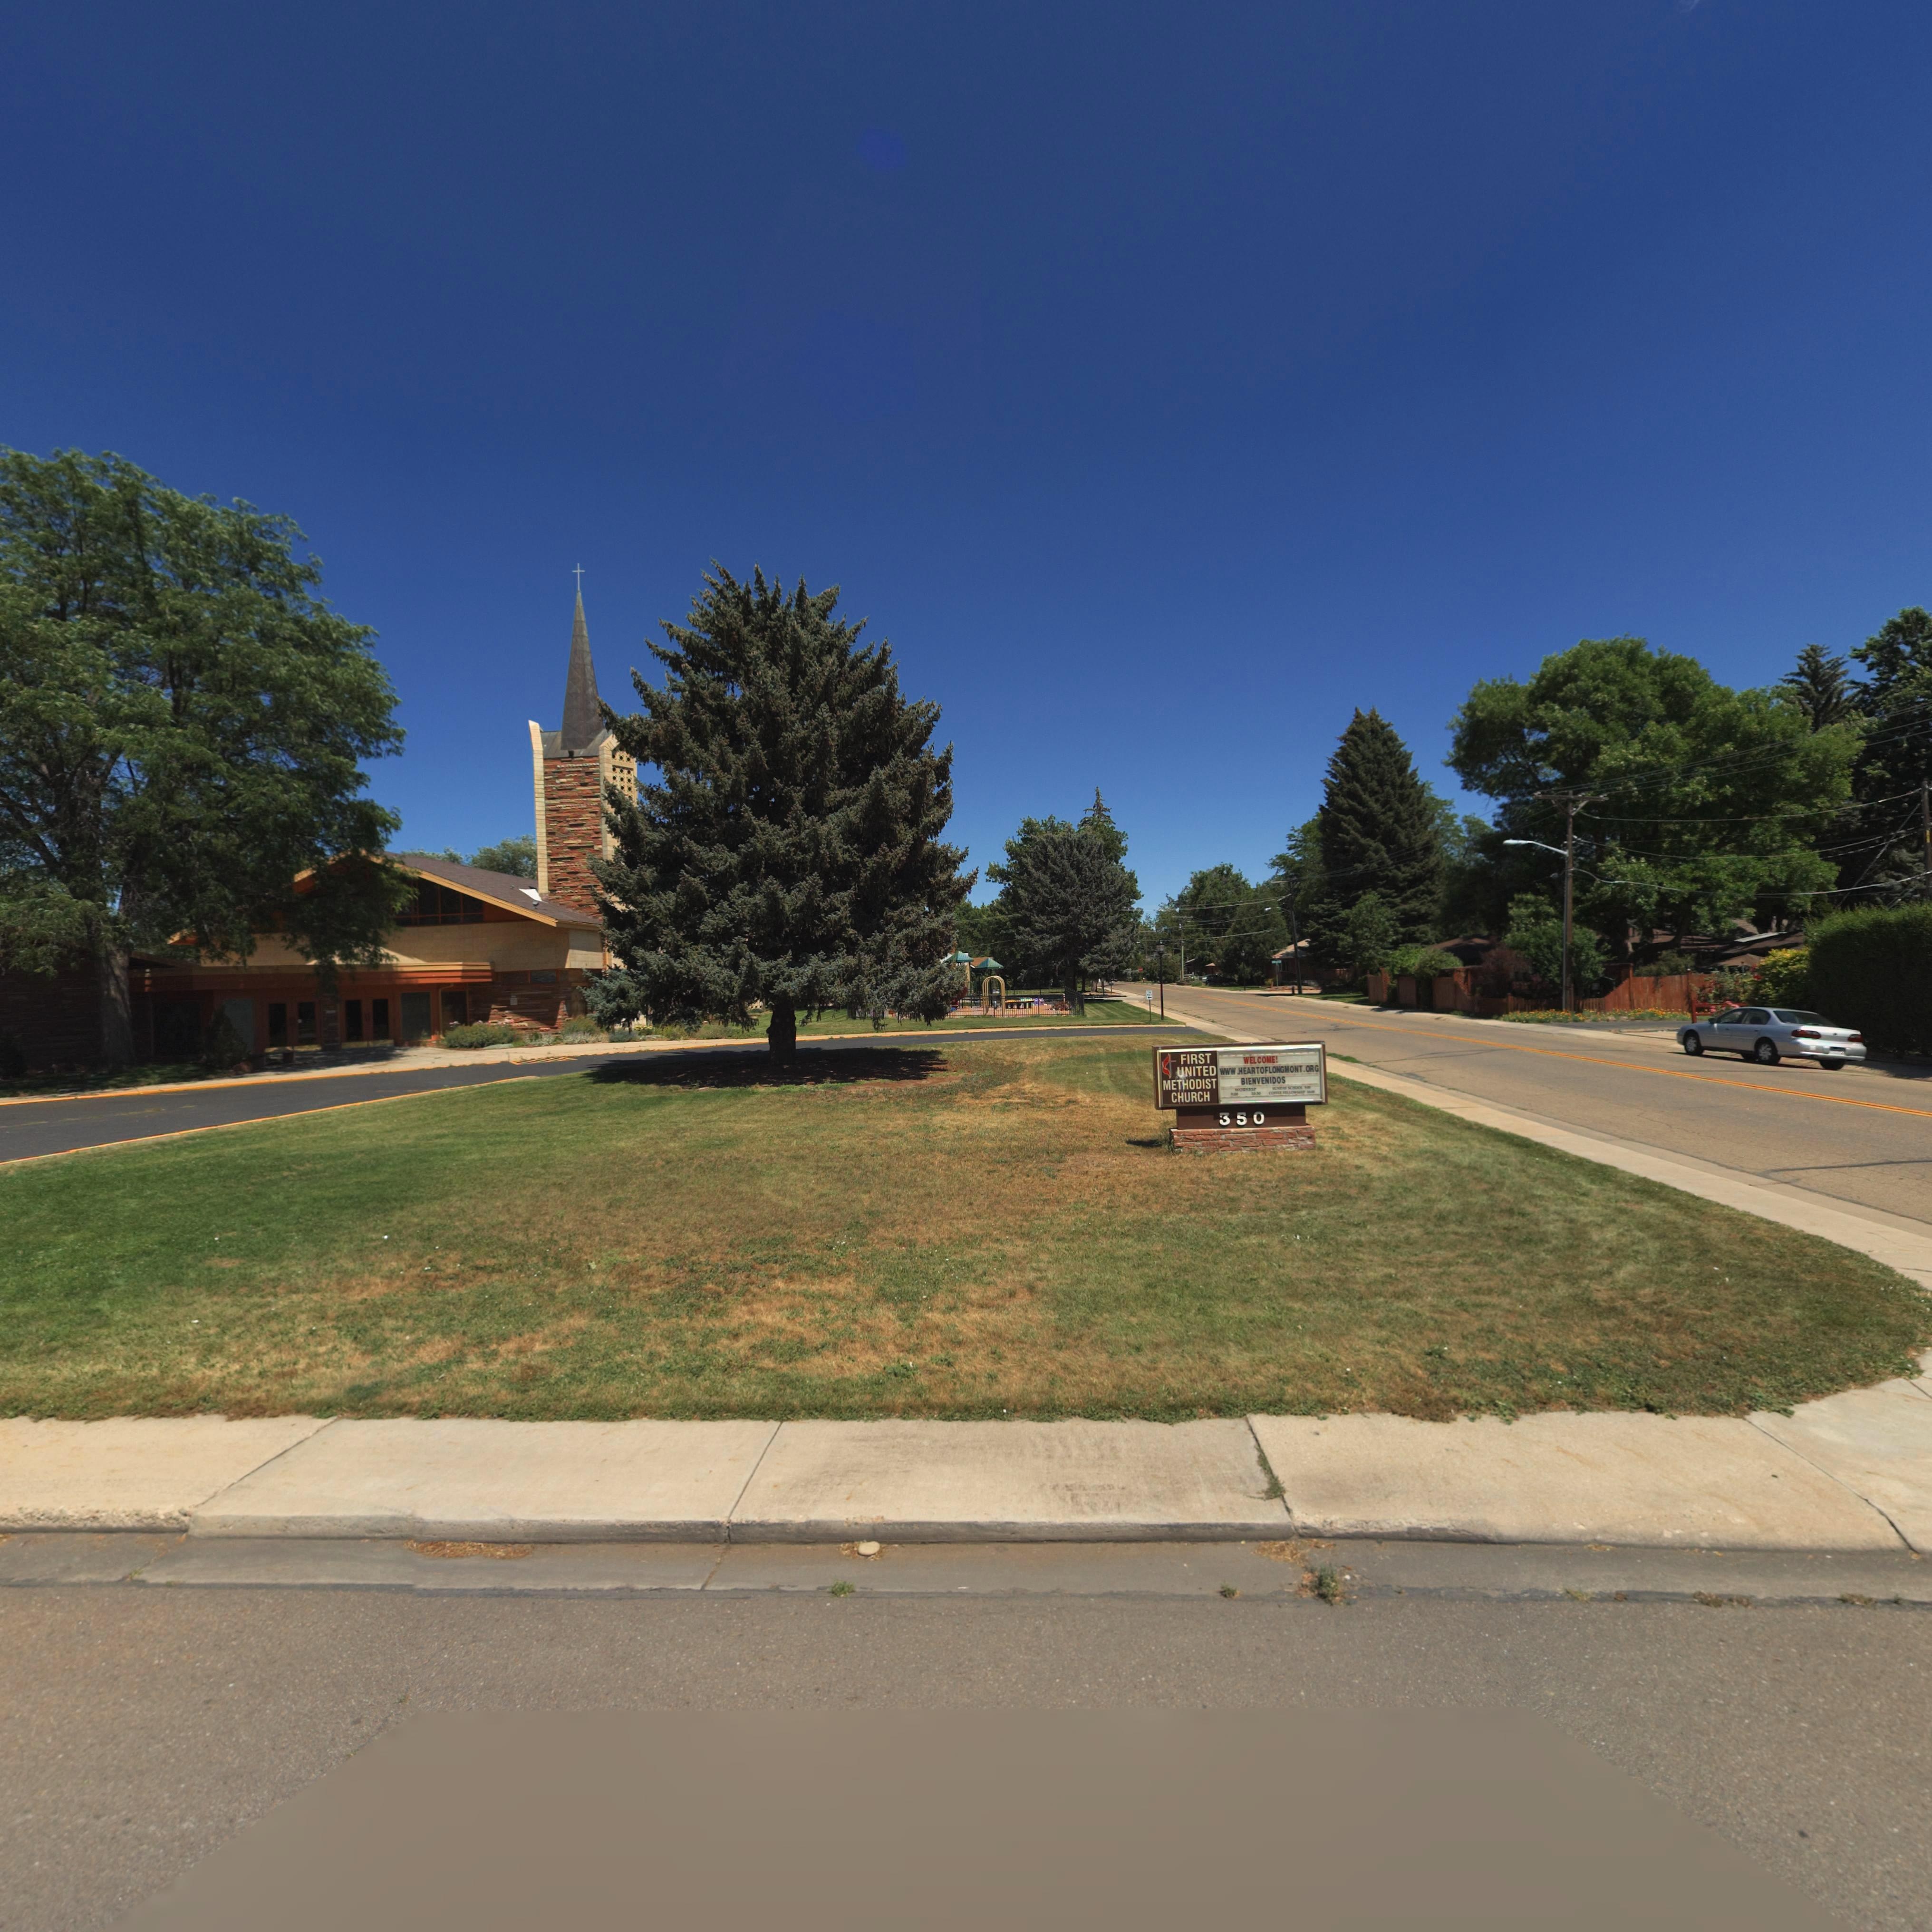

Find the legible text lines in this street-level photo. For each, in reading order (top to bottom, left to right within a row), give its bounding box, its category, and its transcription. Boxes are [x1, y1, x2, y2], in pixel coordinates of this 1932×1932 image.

[1180, 1053, 1212, 1065] BusinessName: FIRST
[1176, 1065, 1217, 1077] BusinessName: *NITED
[1162, 1078, 1217, 1091] BusinessName: METHODIST
[1171, 1091, 1210, 1103] BusinessName: CHURCH
[1218, 1111, 1265, 1126] StreetNumber: 350